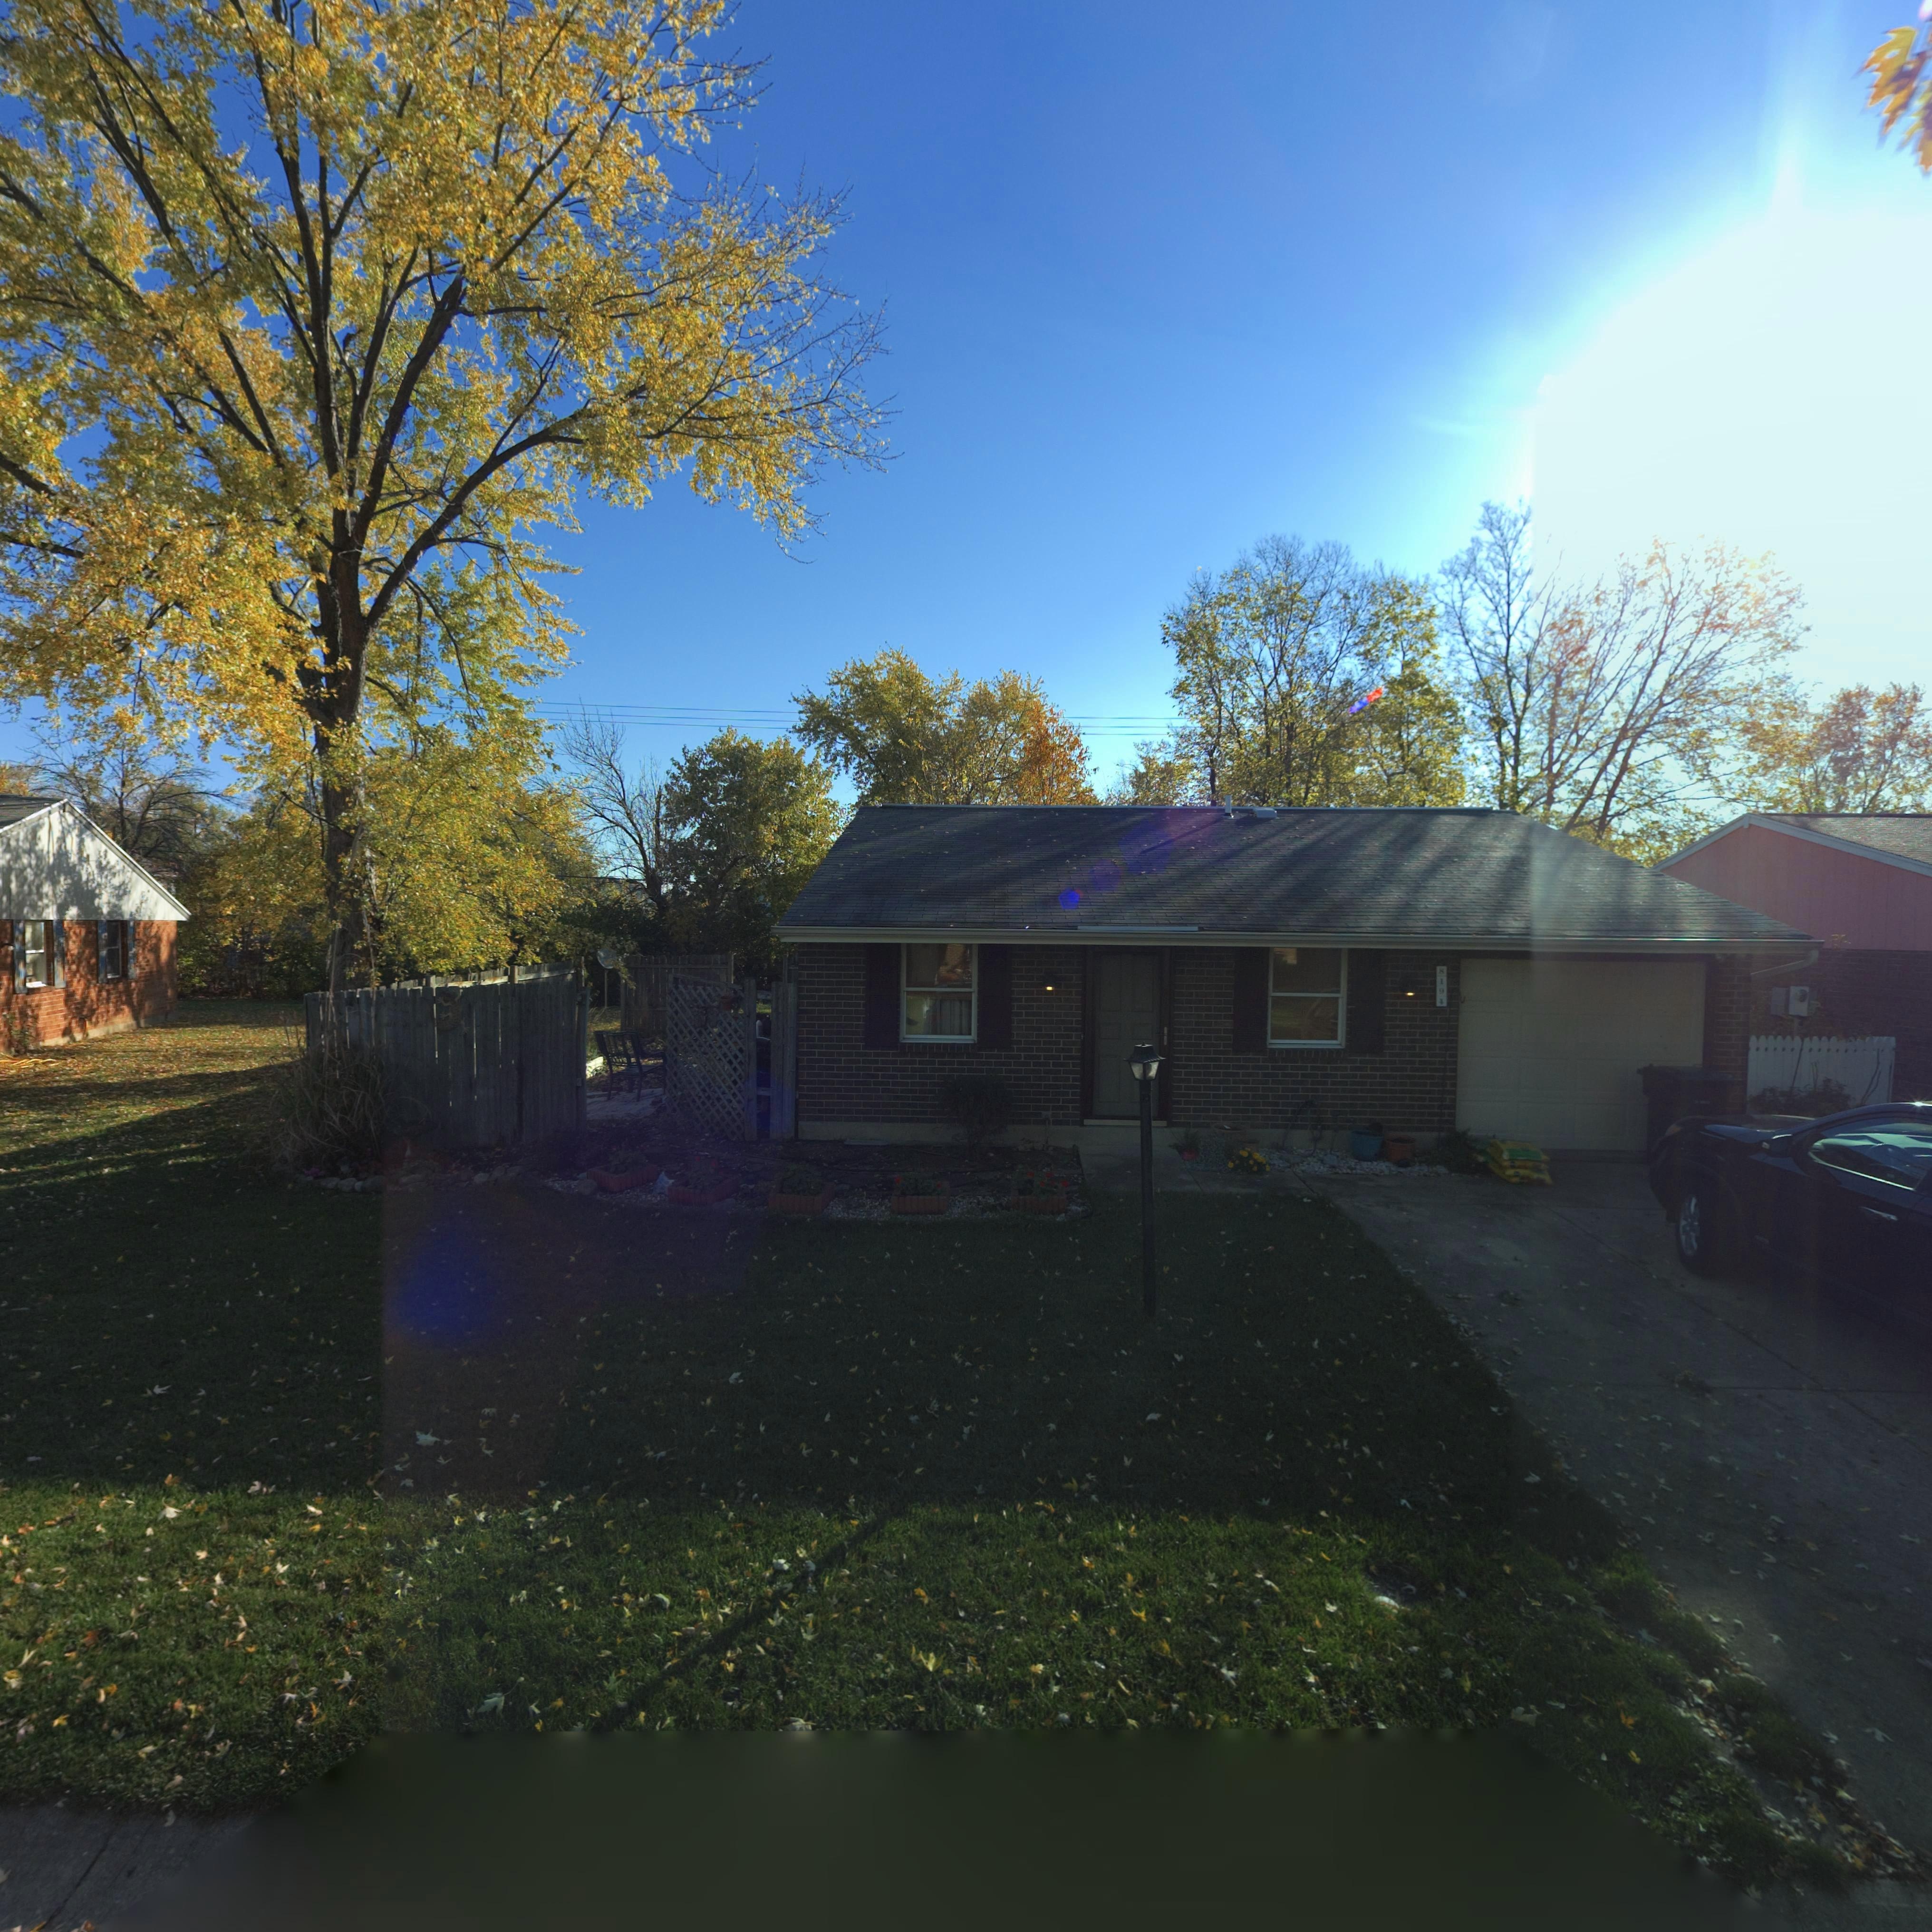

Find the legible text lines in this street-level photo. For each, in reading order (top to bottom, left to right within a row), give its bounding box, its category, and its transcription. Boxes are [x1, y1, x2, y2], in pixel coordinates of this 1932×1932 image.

[1437, 966, 1446, 1005] StreetNumber: 8194